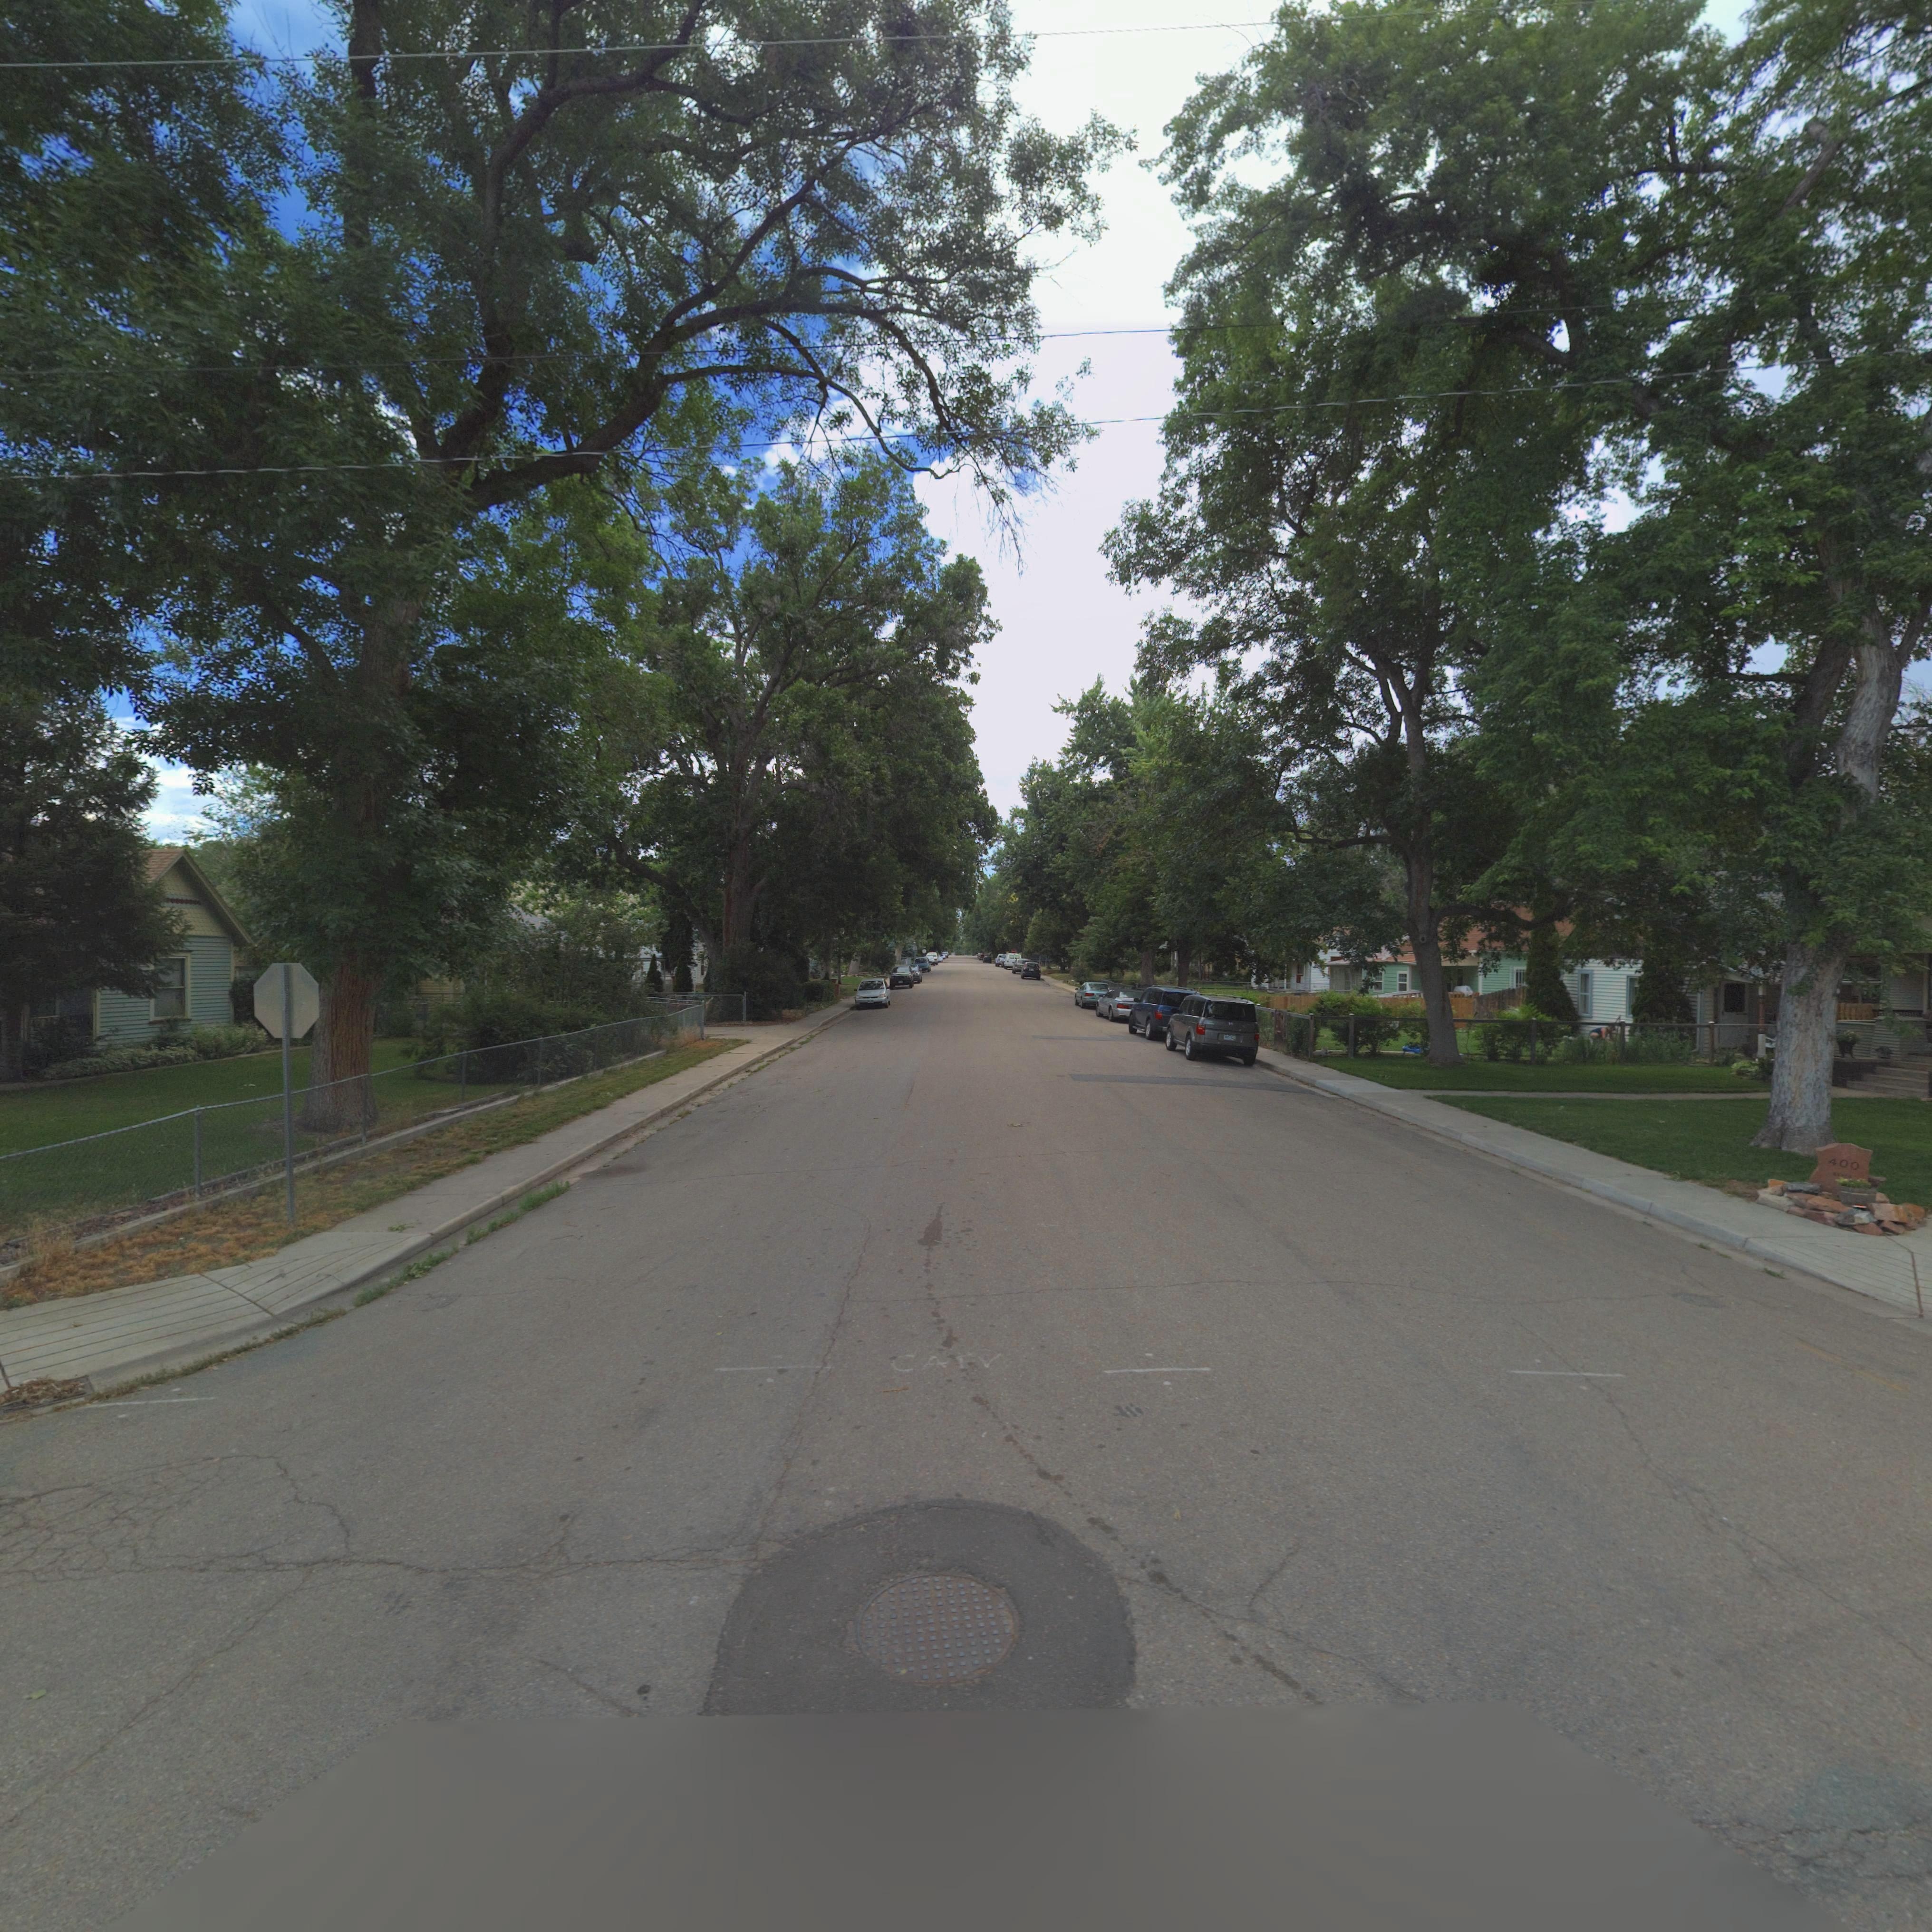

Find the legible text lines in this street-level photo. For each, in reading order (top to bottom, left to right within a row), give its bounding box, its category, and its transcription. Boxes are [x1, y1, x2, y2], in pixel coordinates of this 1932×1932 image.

[1828, 1157, 1859, 1170] StreetNumber: 400